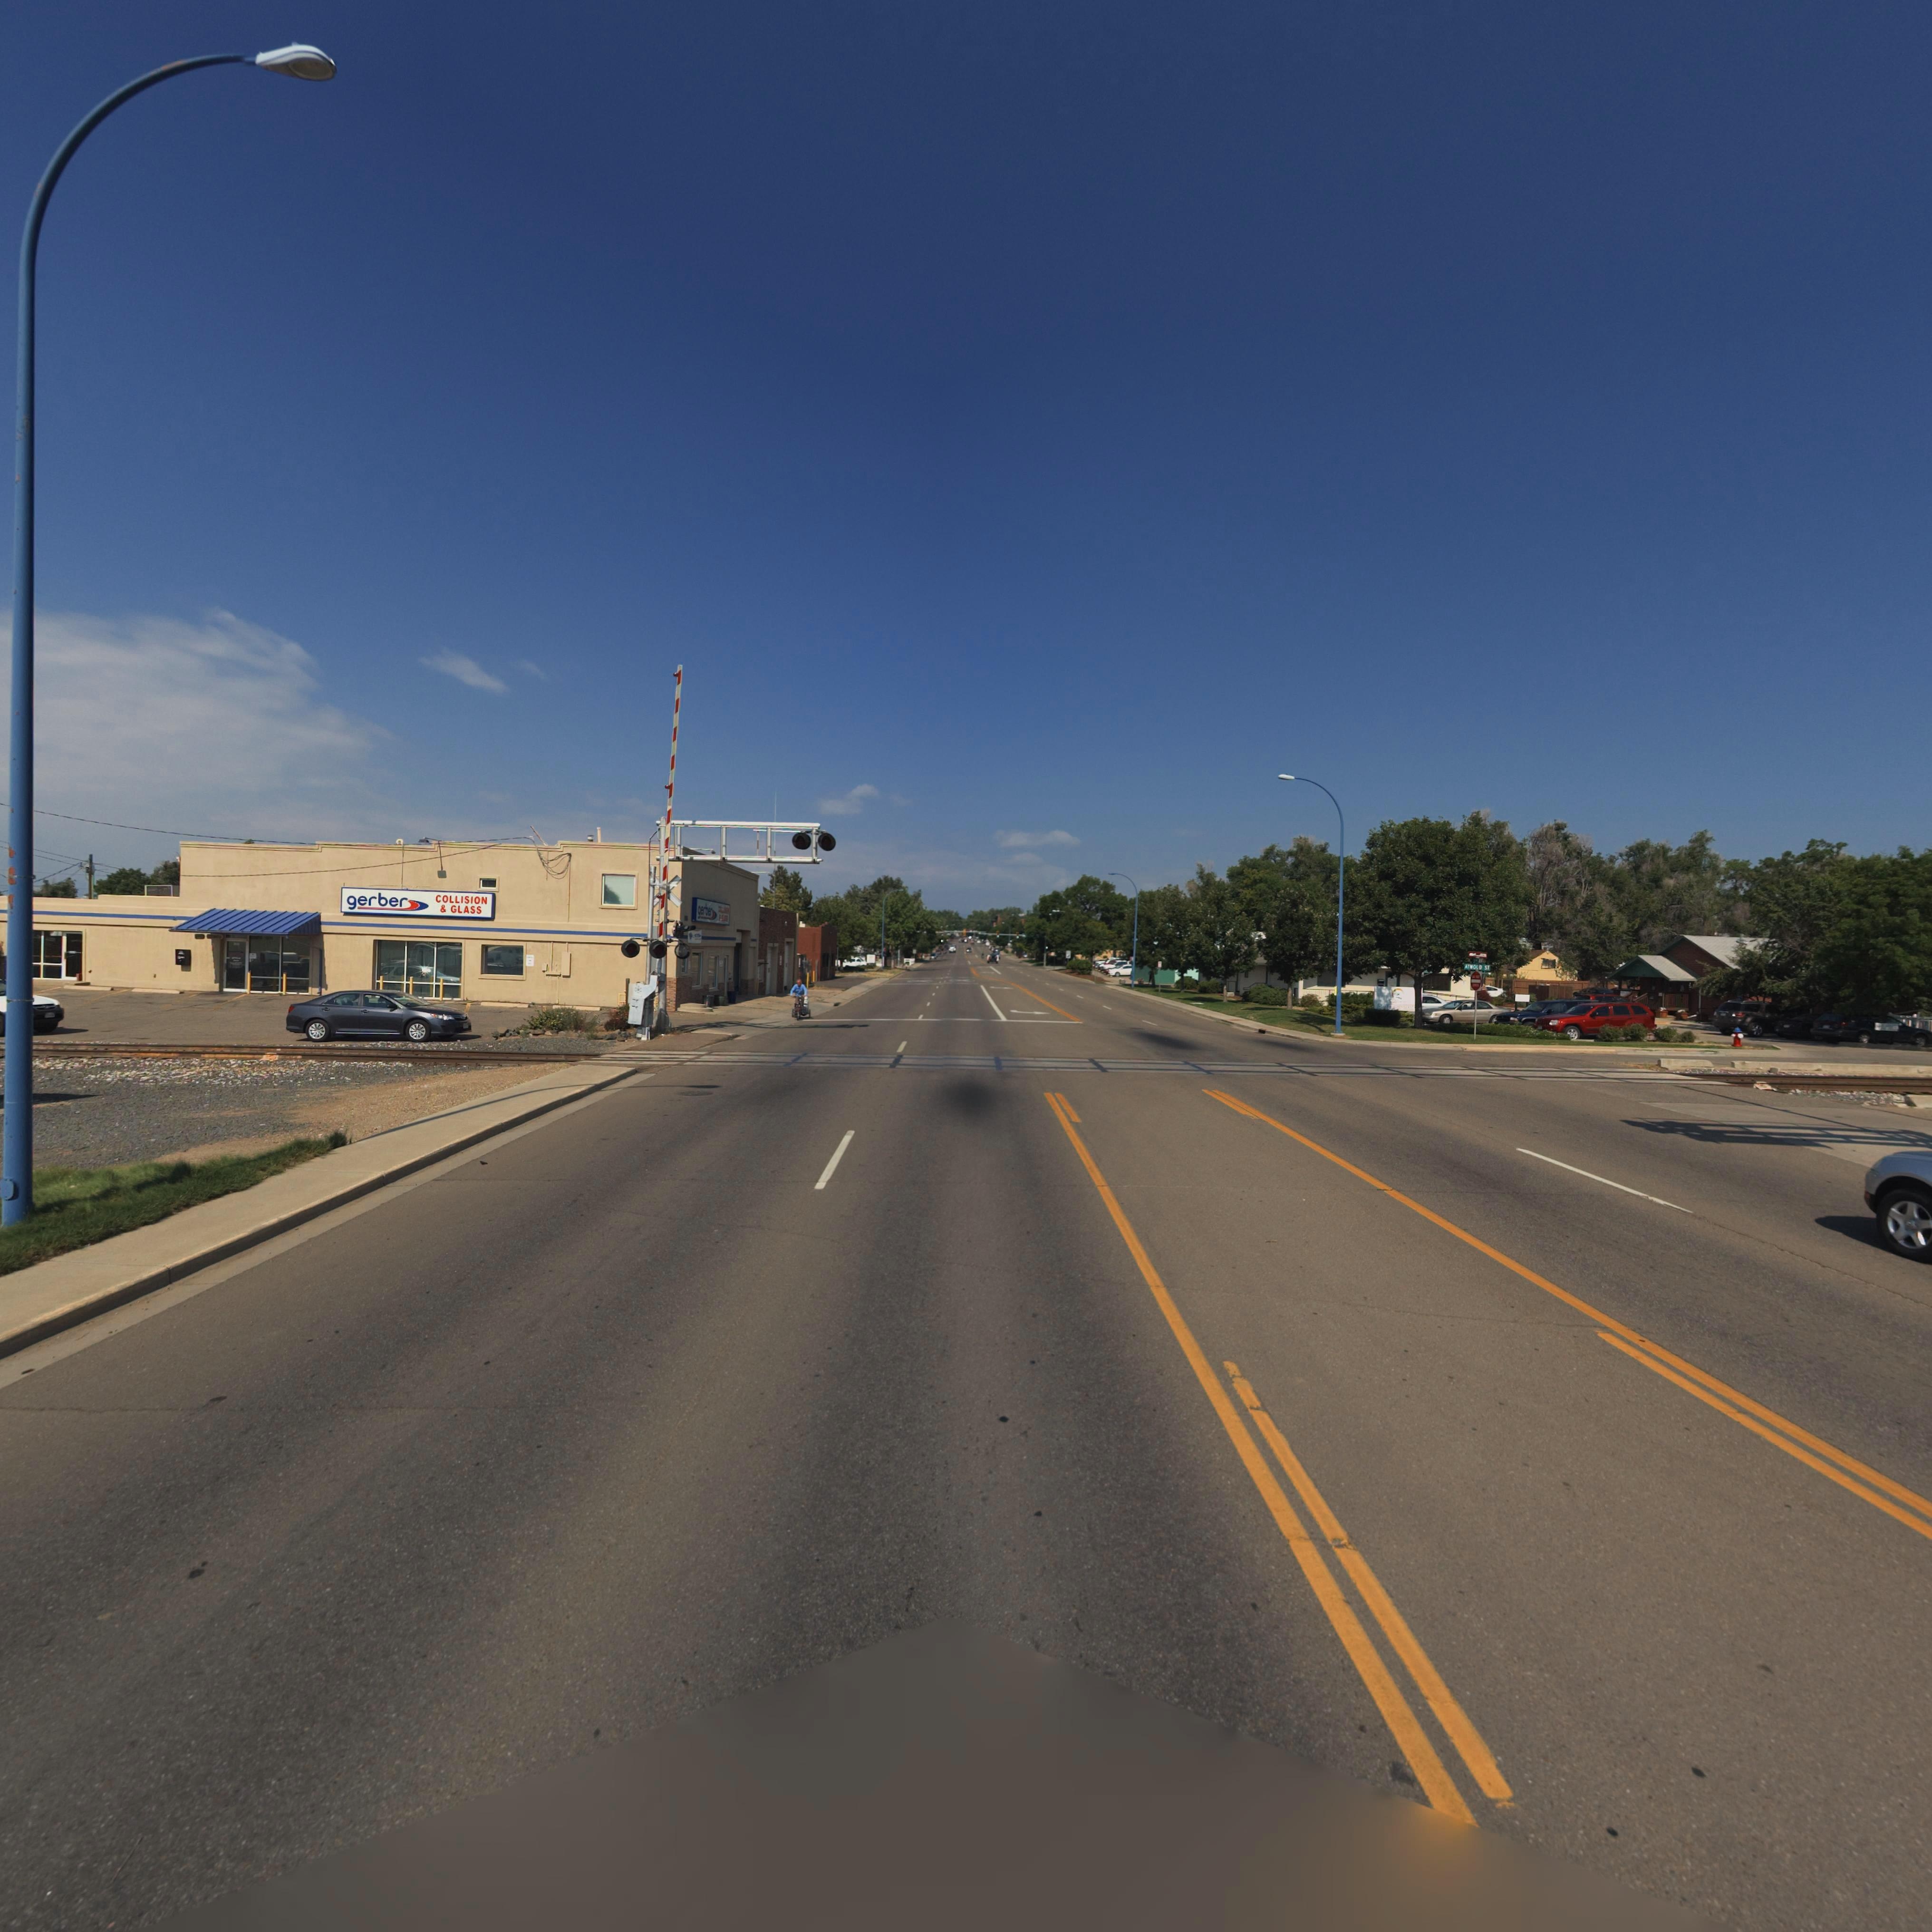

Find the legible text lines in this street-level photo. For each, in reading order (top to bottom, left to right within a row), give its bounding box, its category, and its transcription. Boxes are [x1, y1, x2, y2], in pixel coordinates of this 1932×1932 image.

[345, 891, 409, 910] BusinessName: gerber
[435, 894, 487, 905] BusinessName: COLLISION
[439, 904, 482, 914] BusinessName: & GLASS
[697, 903, 713, 919] BusinessName: ge****
[1464, 964, 1490, 970] StreetName: A**O*D ST